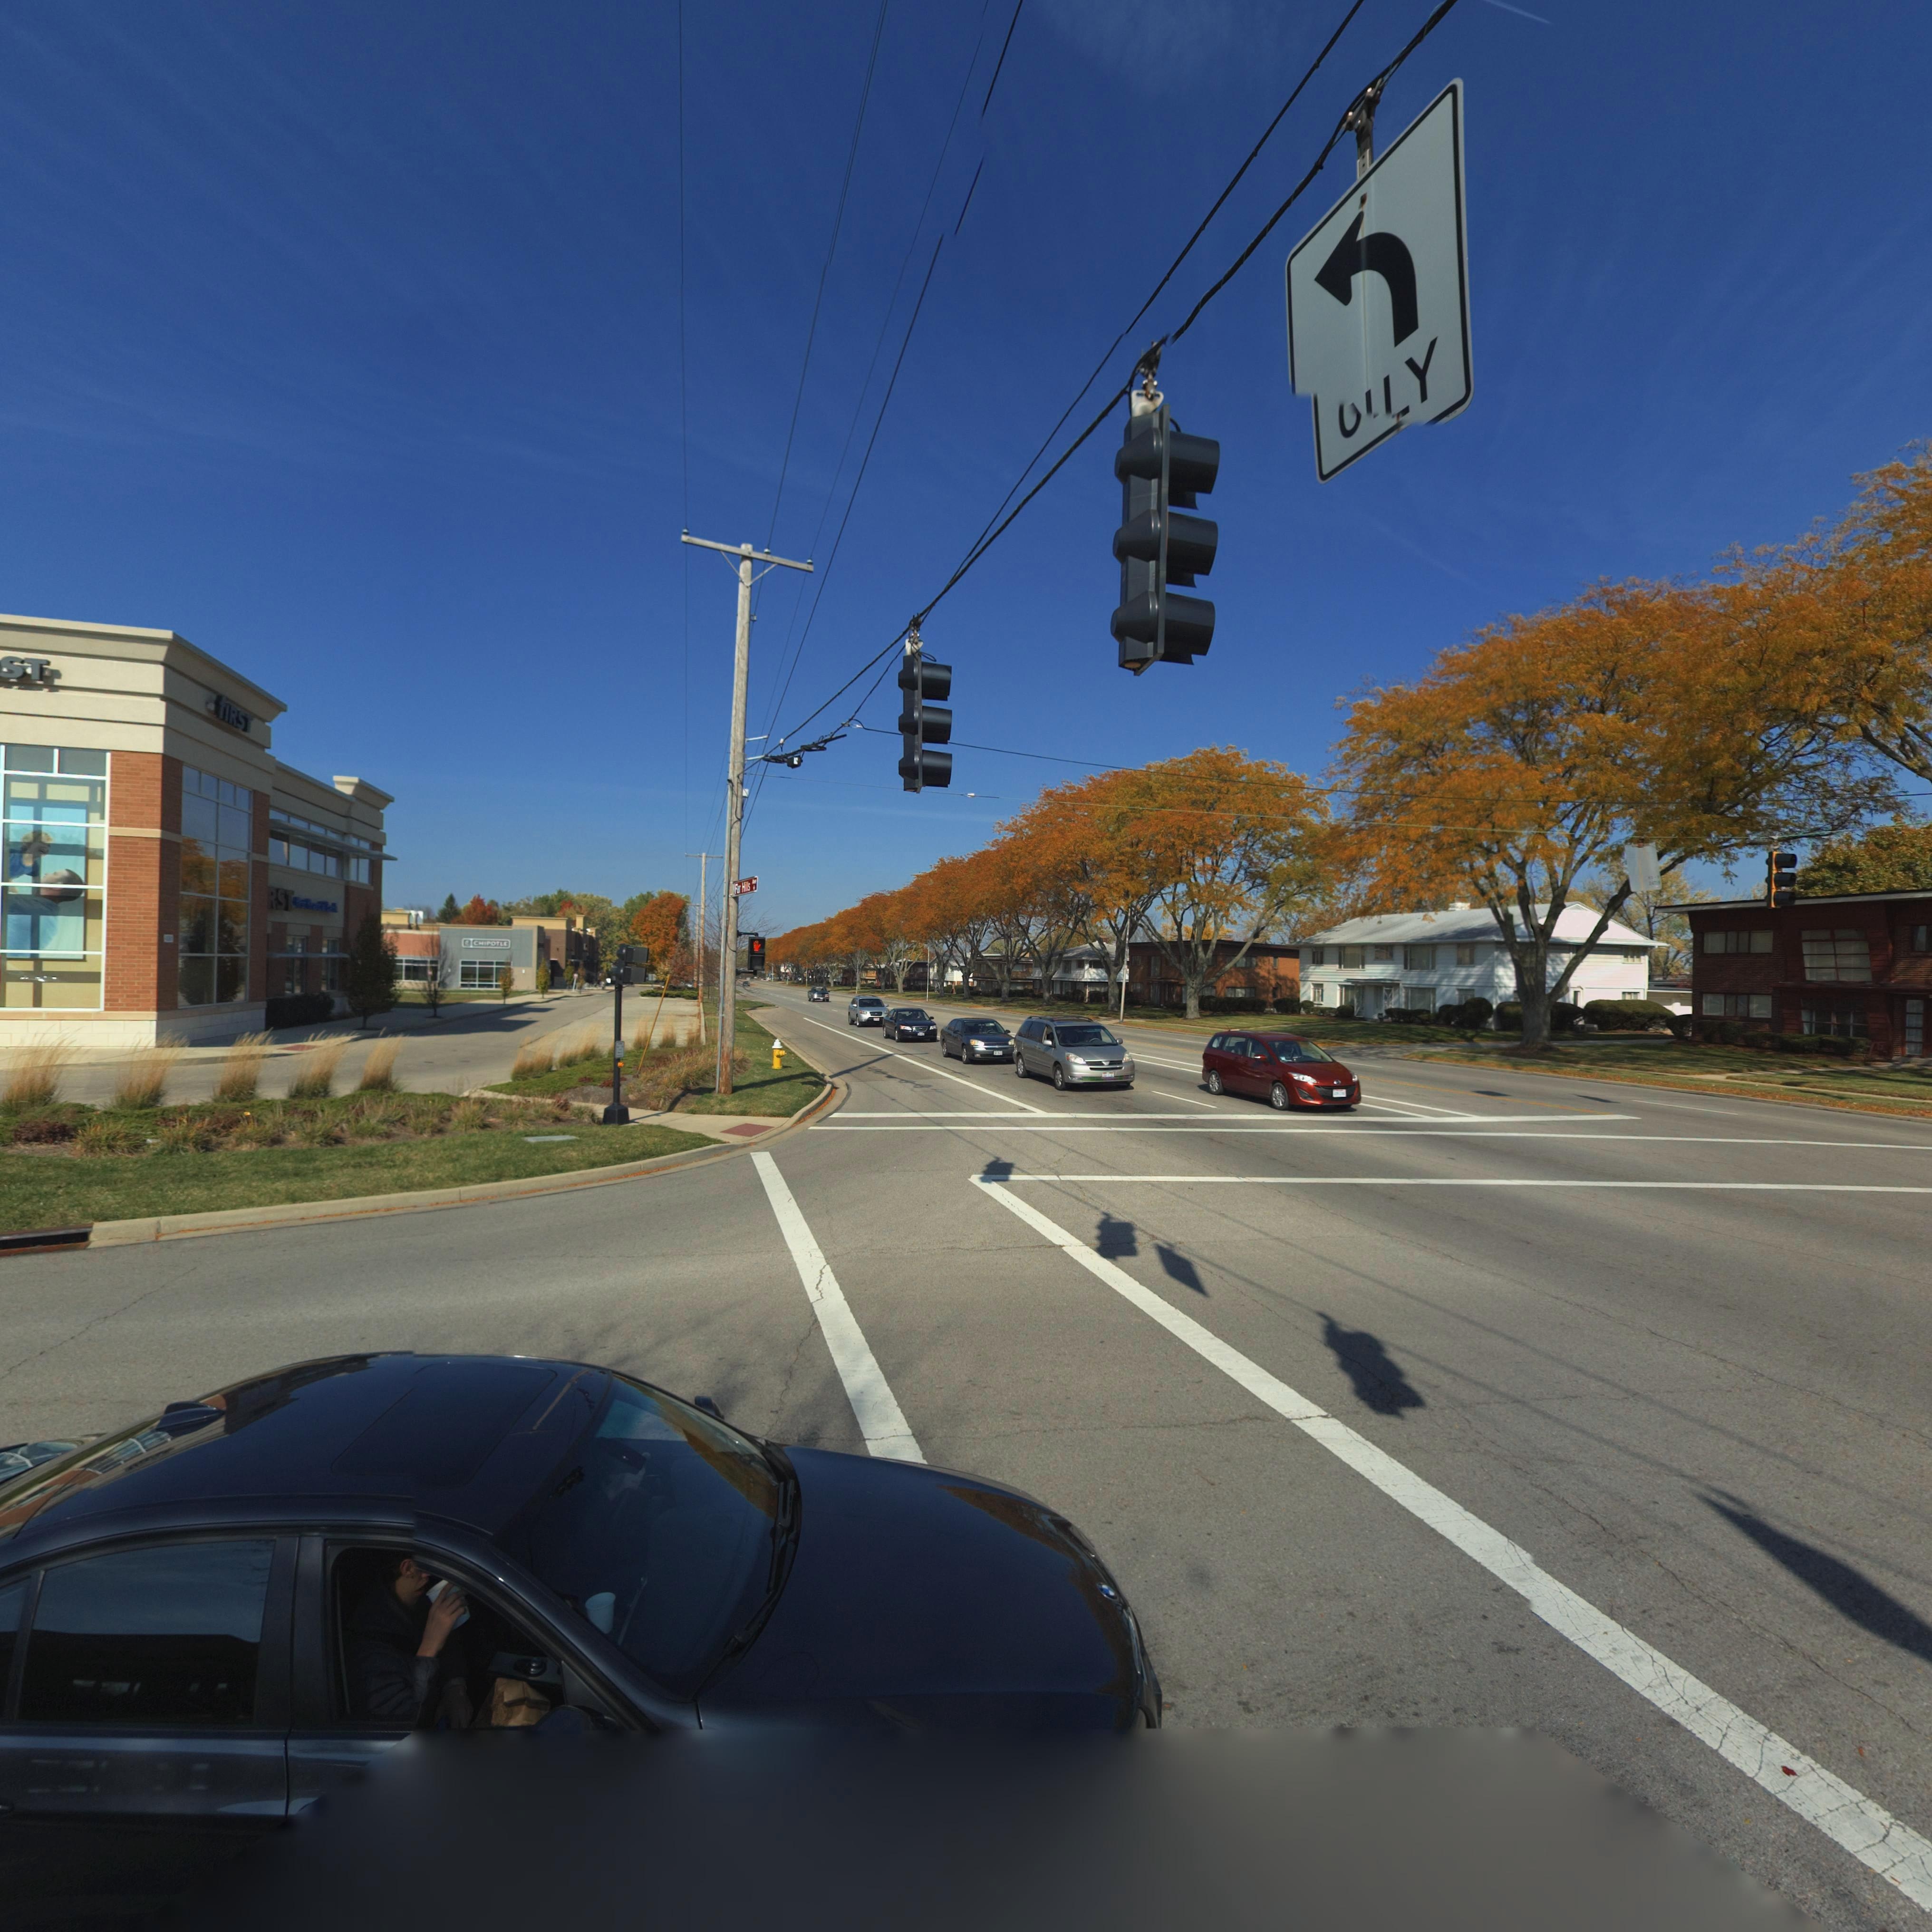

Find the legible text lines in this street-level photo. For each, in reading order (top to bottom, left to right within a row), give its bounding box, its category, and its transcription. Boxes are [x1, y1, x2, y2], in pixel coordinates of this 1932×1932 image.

[0, 655, 49, 681] BusinessName: ST
[218, 693, 254, 734] BusinessName: fIRST
[276, 887, 295, 912] BusinessName: ST
[733, 879, 752, 896] StreetName: F*r H***s
[473, 939, 509, 947] BusinessName: CHIPO***